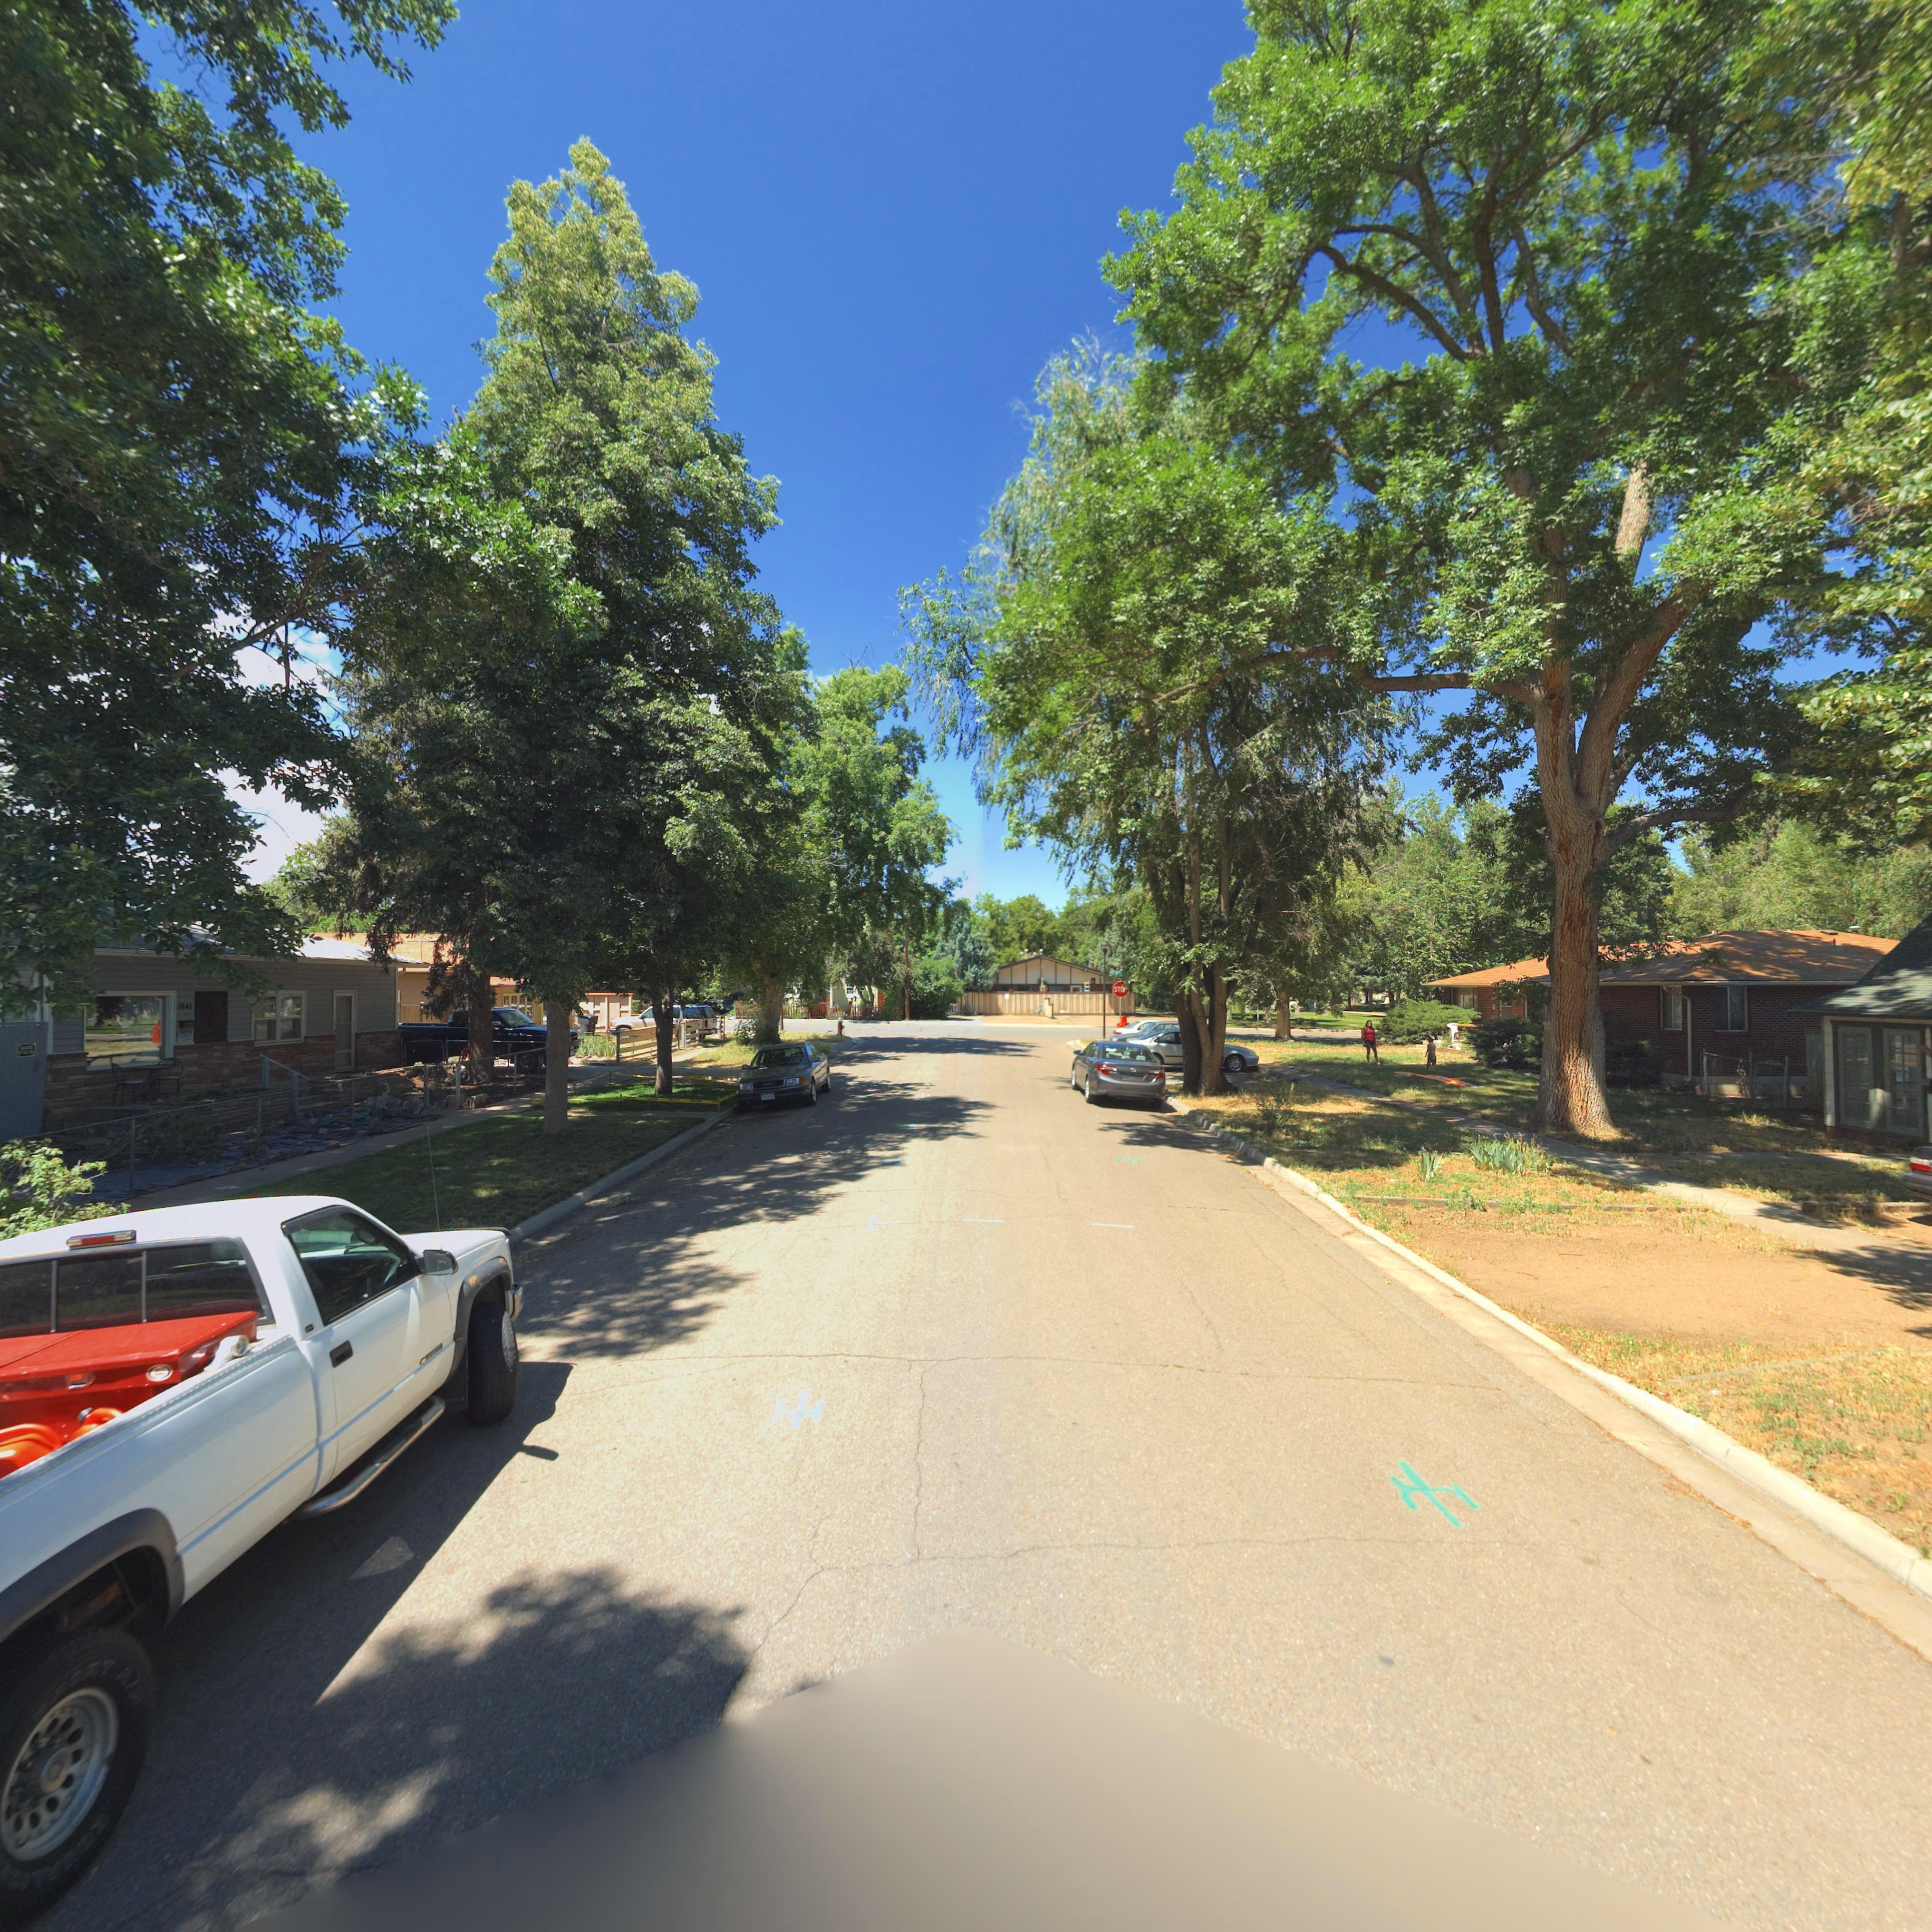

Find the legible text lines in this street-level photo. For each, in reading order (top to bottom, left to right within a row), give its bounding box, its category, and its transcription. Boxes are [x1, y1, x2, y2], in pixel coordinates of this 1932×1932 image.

[178, 1002, 192, 1010] StreetNumber: 1041